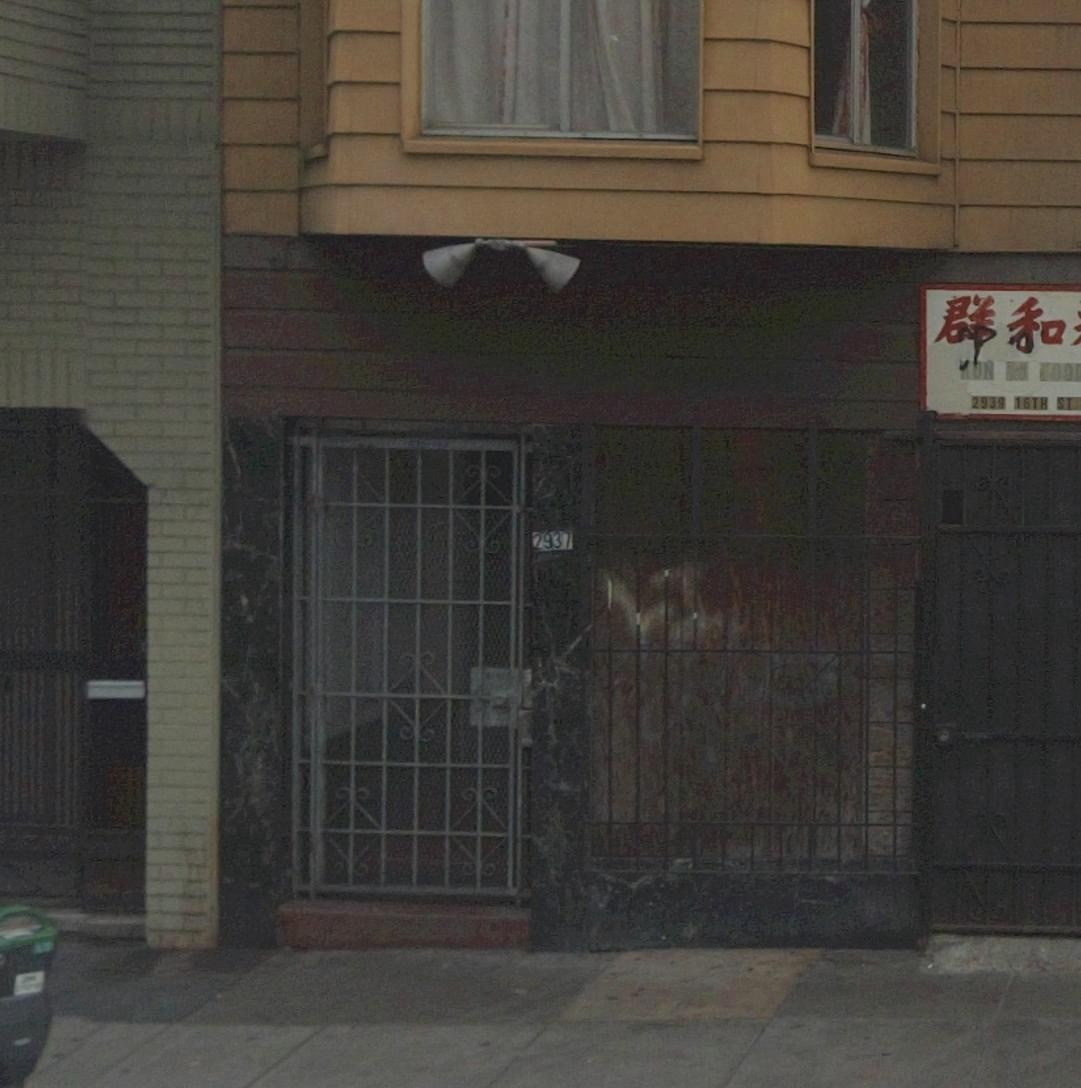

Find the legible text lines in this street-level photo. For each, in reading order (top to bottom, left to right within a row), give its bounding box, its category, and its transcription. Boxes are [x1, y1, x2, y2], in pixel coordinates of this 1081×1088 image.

[970, 395, 1006, 410] StreetNumber: 2939
[1013, 395, 1073, 411] StreetName: 16TH ST
[532, 530, 571, 550] StreetNumber: 2937